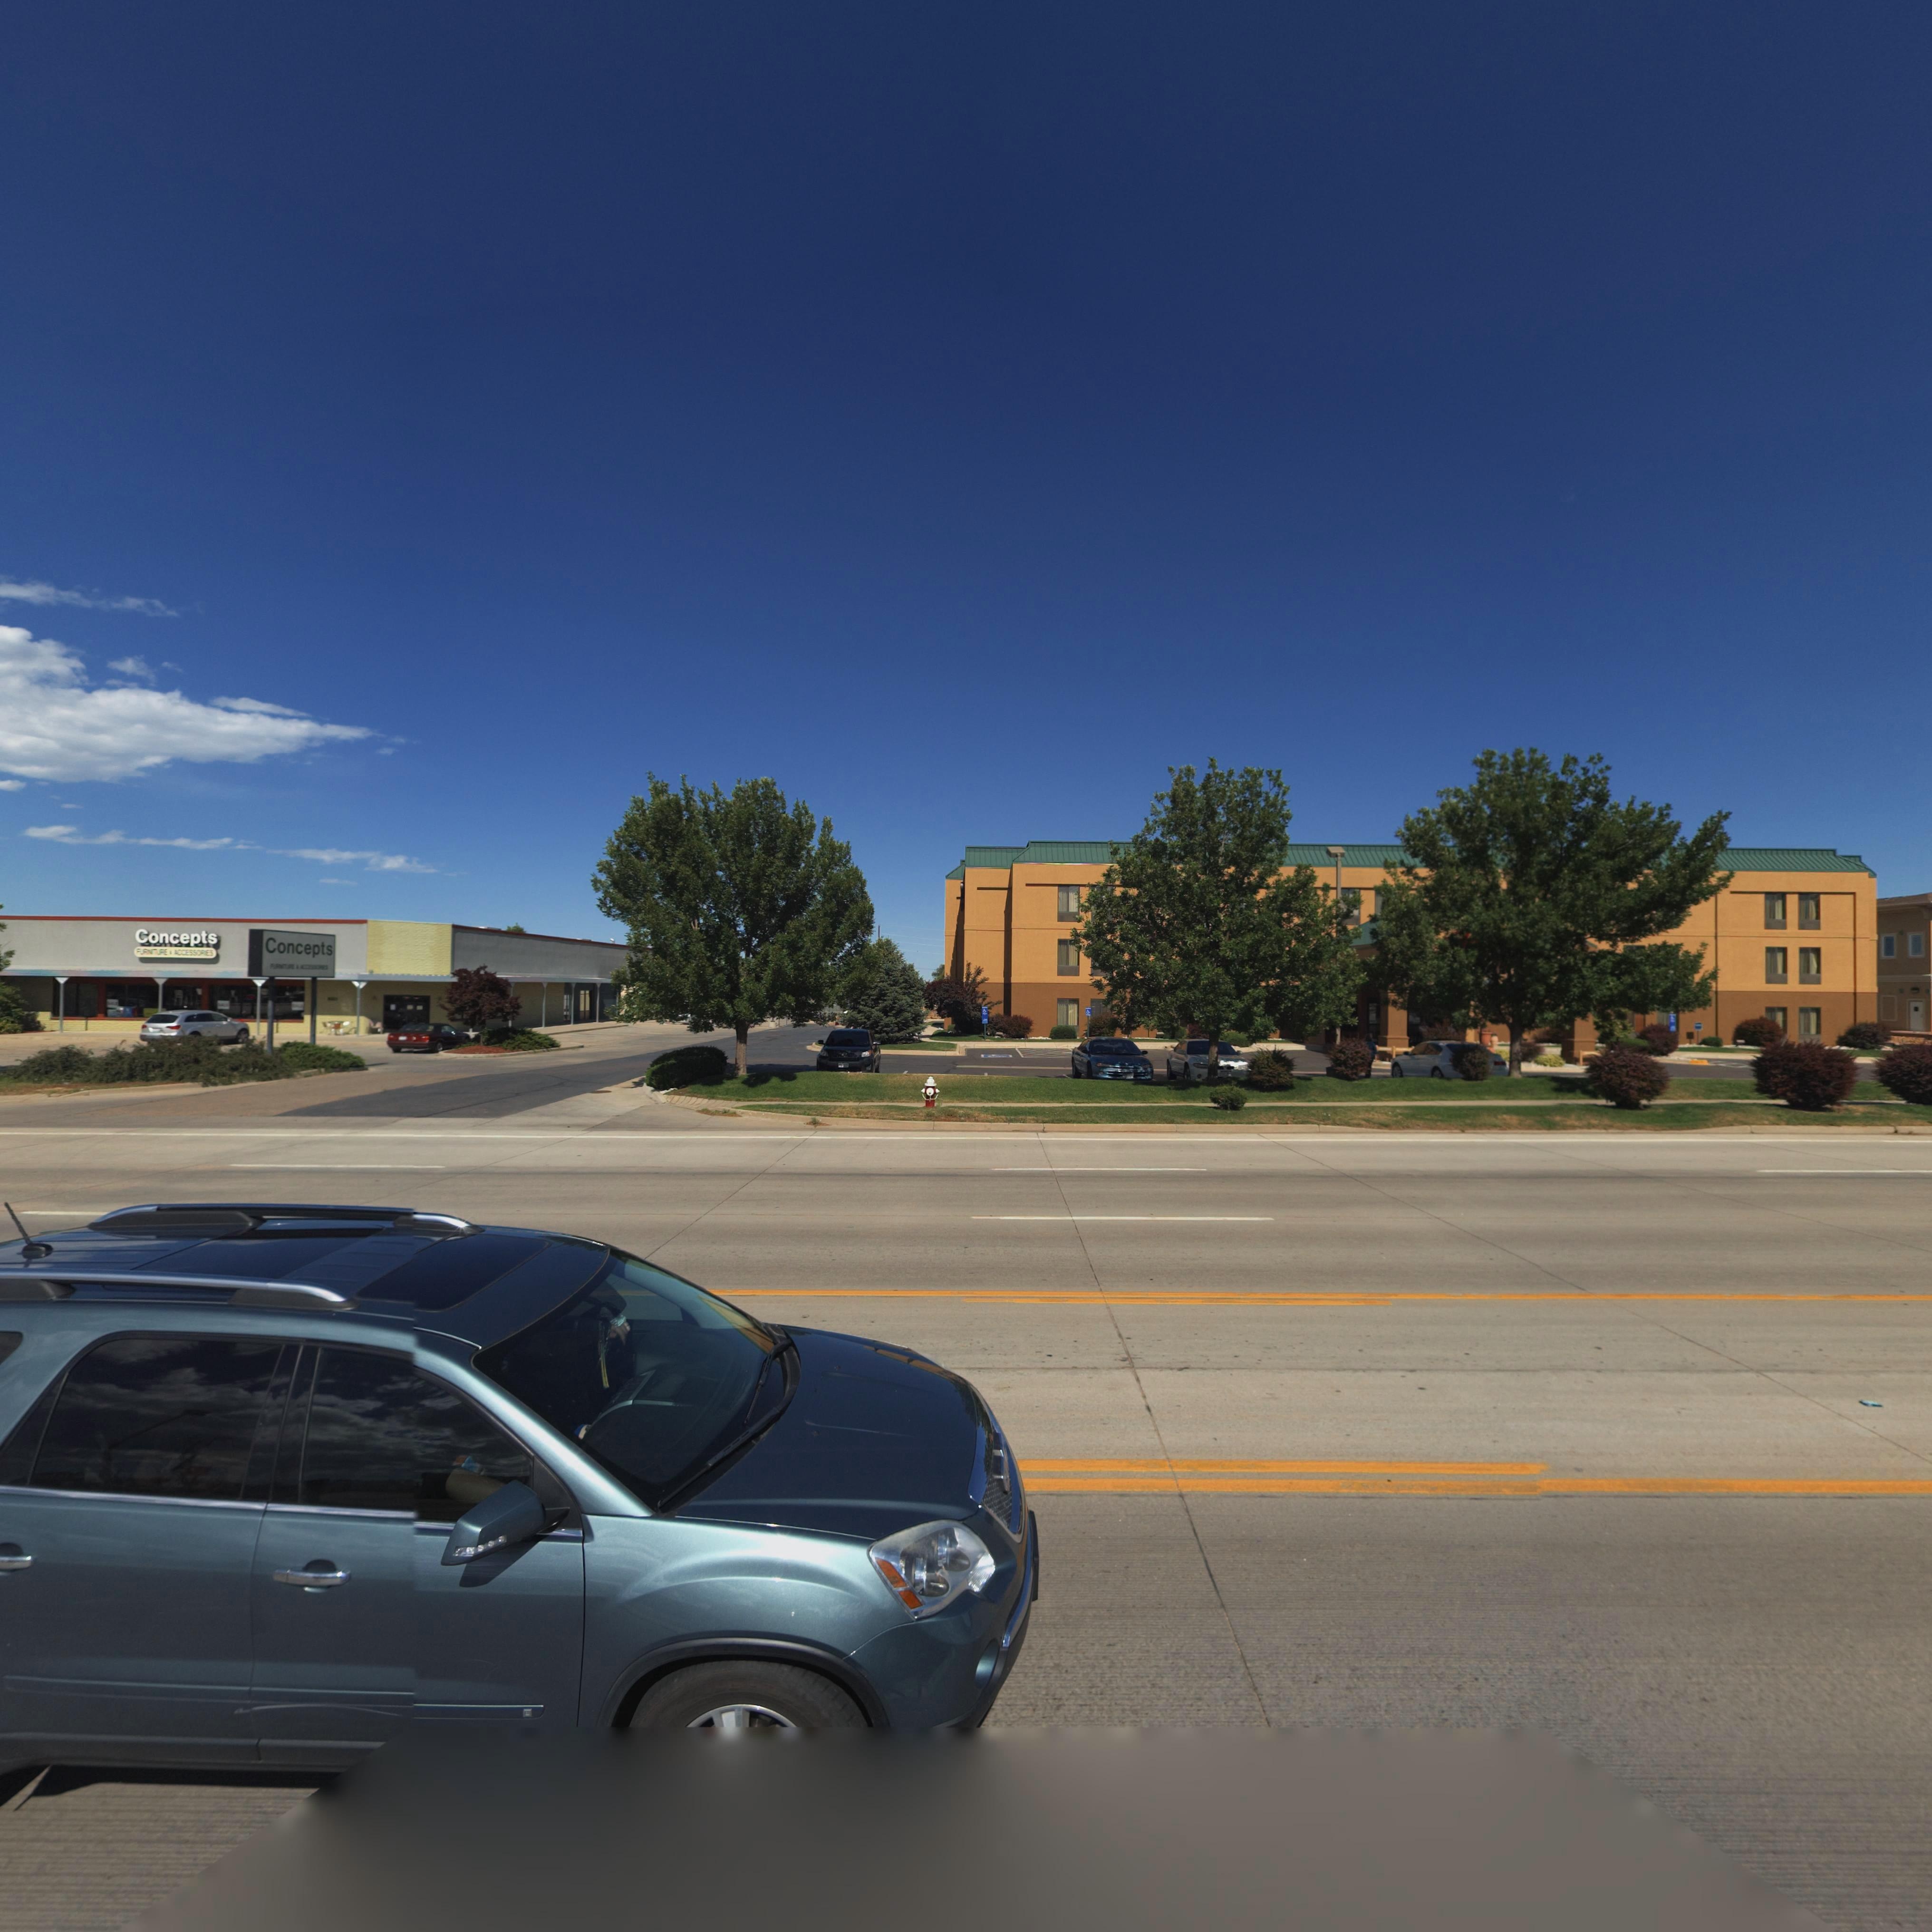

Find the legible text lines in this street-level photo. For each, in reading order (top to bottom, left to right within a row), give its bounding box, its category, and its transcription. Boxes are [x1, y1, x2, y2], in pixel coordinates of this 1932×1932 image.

[133, 927, 219, 947] BusinessName: Concepts
[136, 948, 214, 956] BusinessName: FURN*T*RE * ACCESSOE*ES
[264, 936, 333, 959] BusinessName: Concepts
[268, 962, 329, 970] BusinessName: F****TU*E * ACC*******S